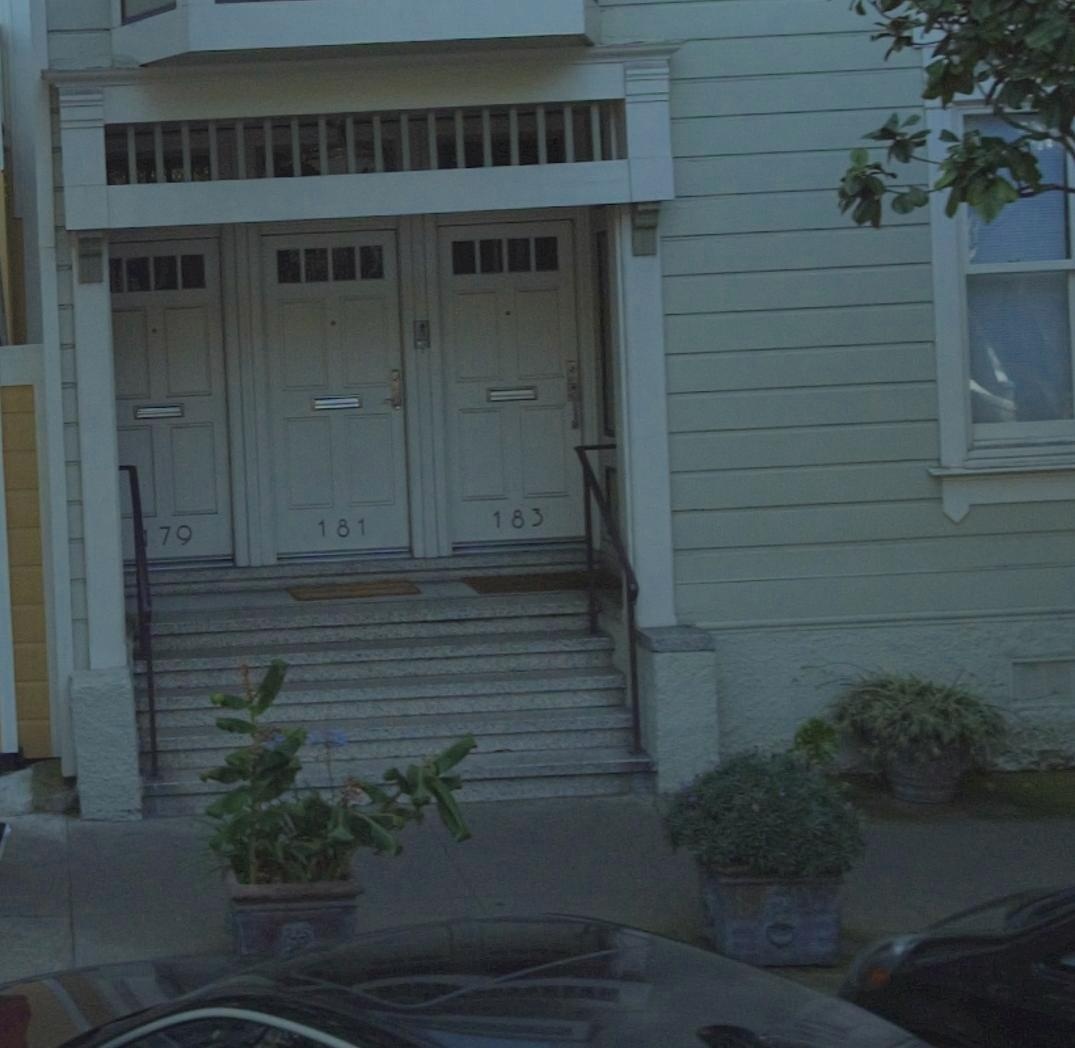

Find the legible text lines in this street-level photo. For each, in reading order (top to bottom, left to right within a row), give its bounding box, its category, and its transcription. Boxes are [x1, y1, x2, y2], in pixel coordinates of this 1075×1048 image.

[156, 523, 194, 547] StreetNumber: 79
[317, 516, 366, 539] StreetNumber: 181
[492, 506, 545, 532] StreetNumber: 183